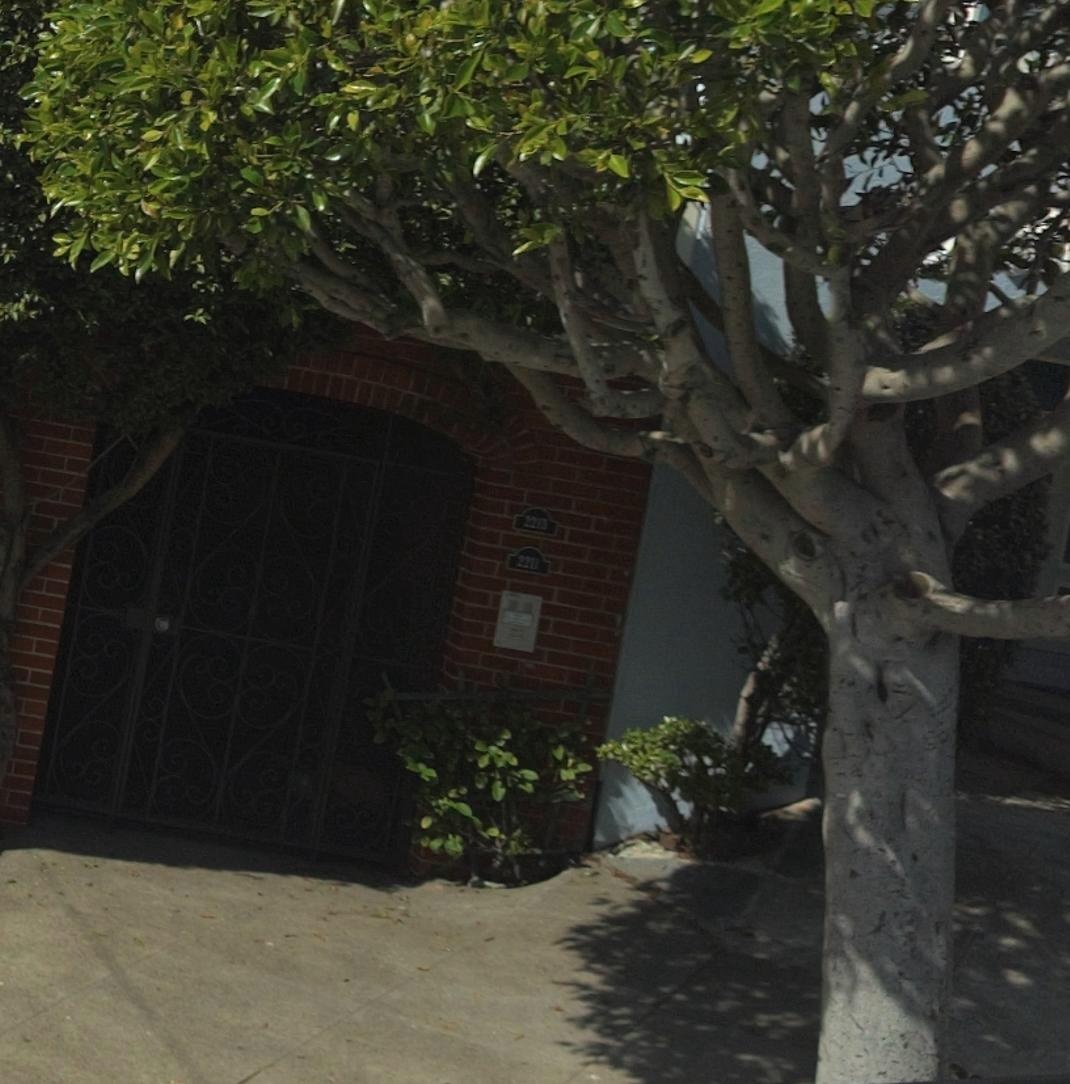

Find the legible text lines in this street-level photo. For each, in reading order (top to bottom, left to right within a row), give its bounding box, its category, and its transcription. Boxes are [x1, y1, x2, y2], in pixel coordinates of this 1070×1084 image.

[521, 512, 550, 534] StreetNumber: 2213
[515, 552, 541, 573] StreetNumber: 2211